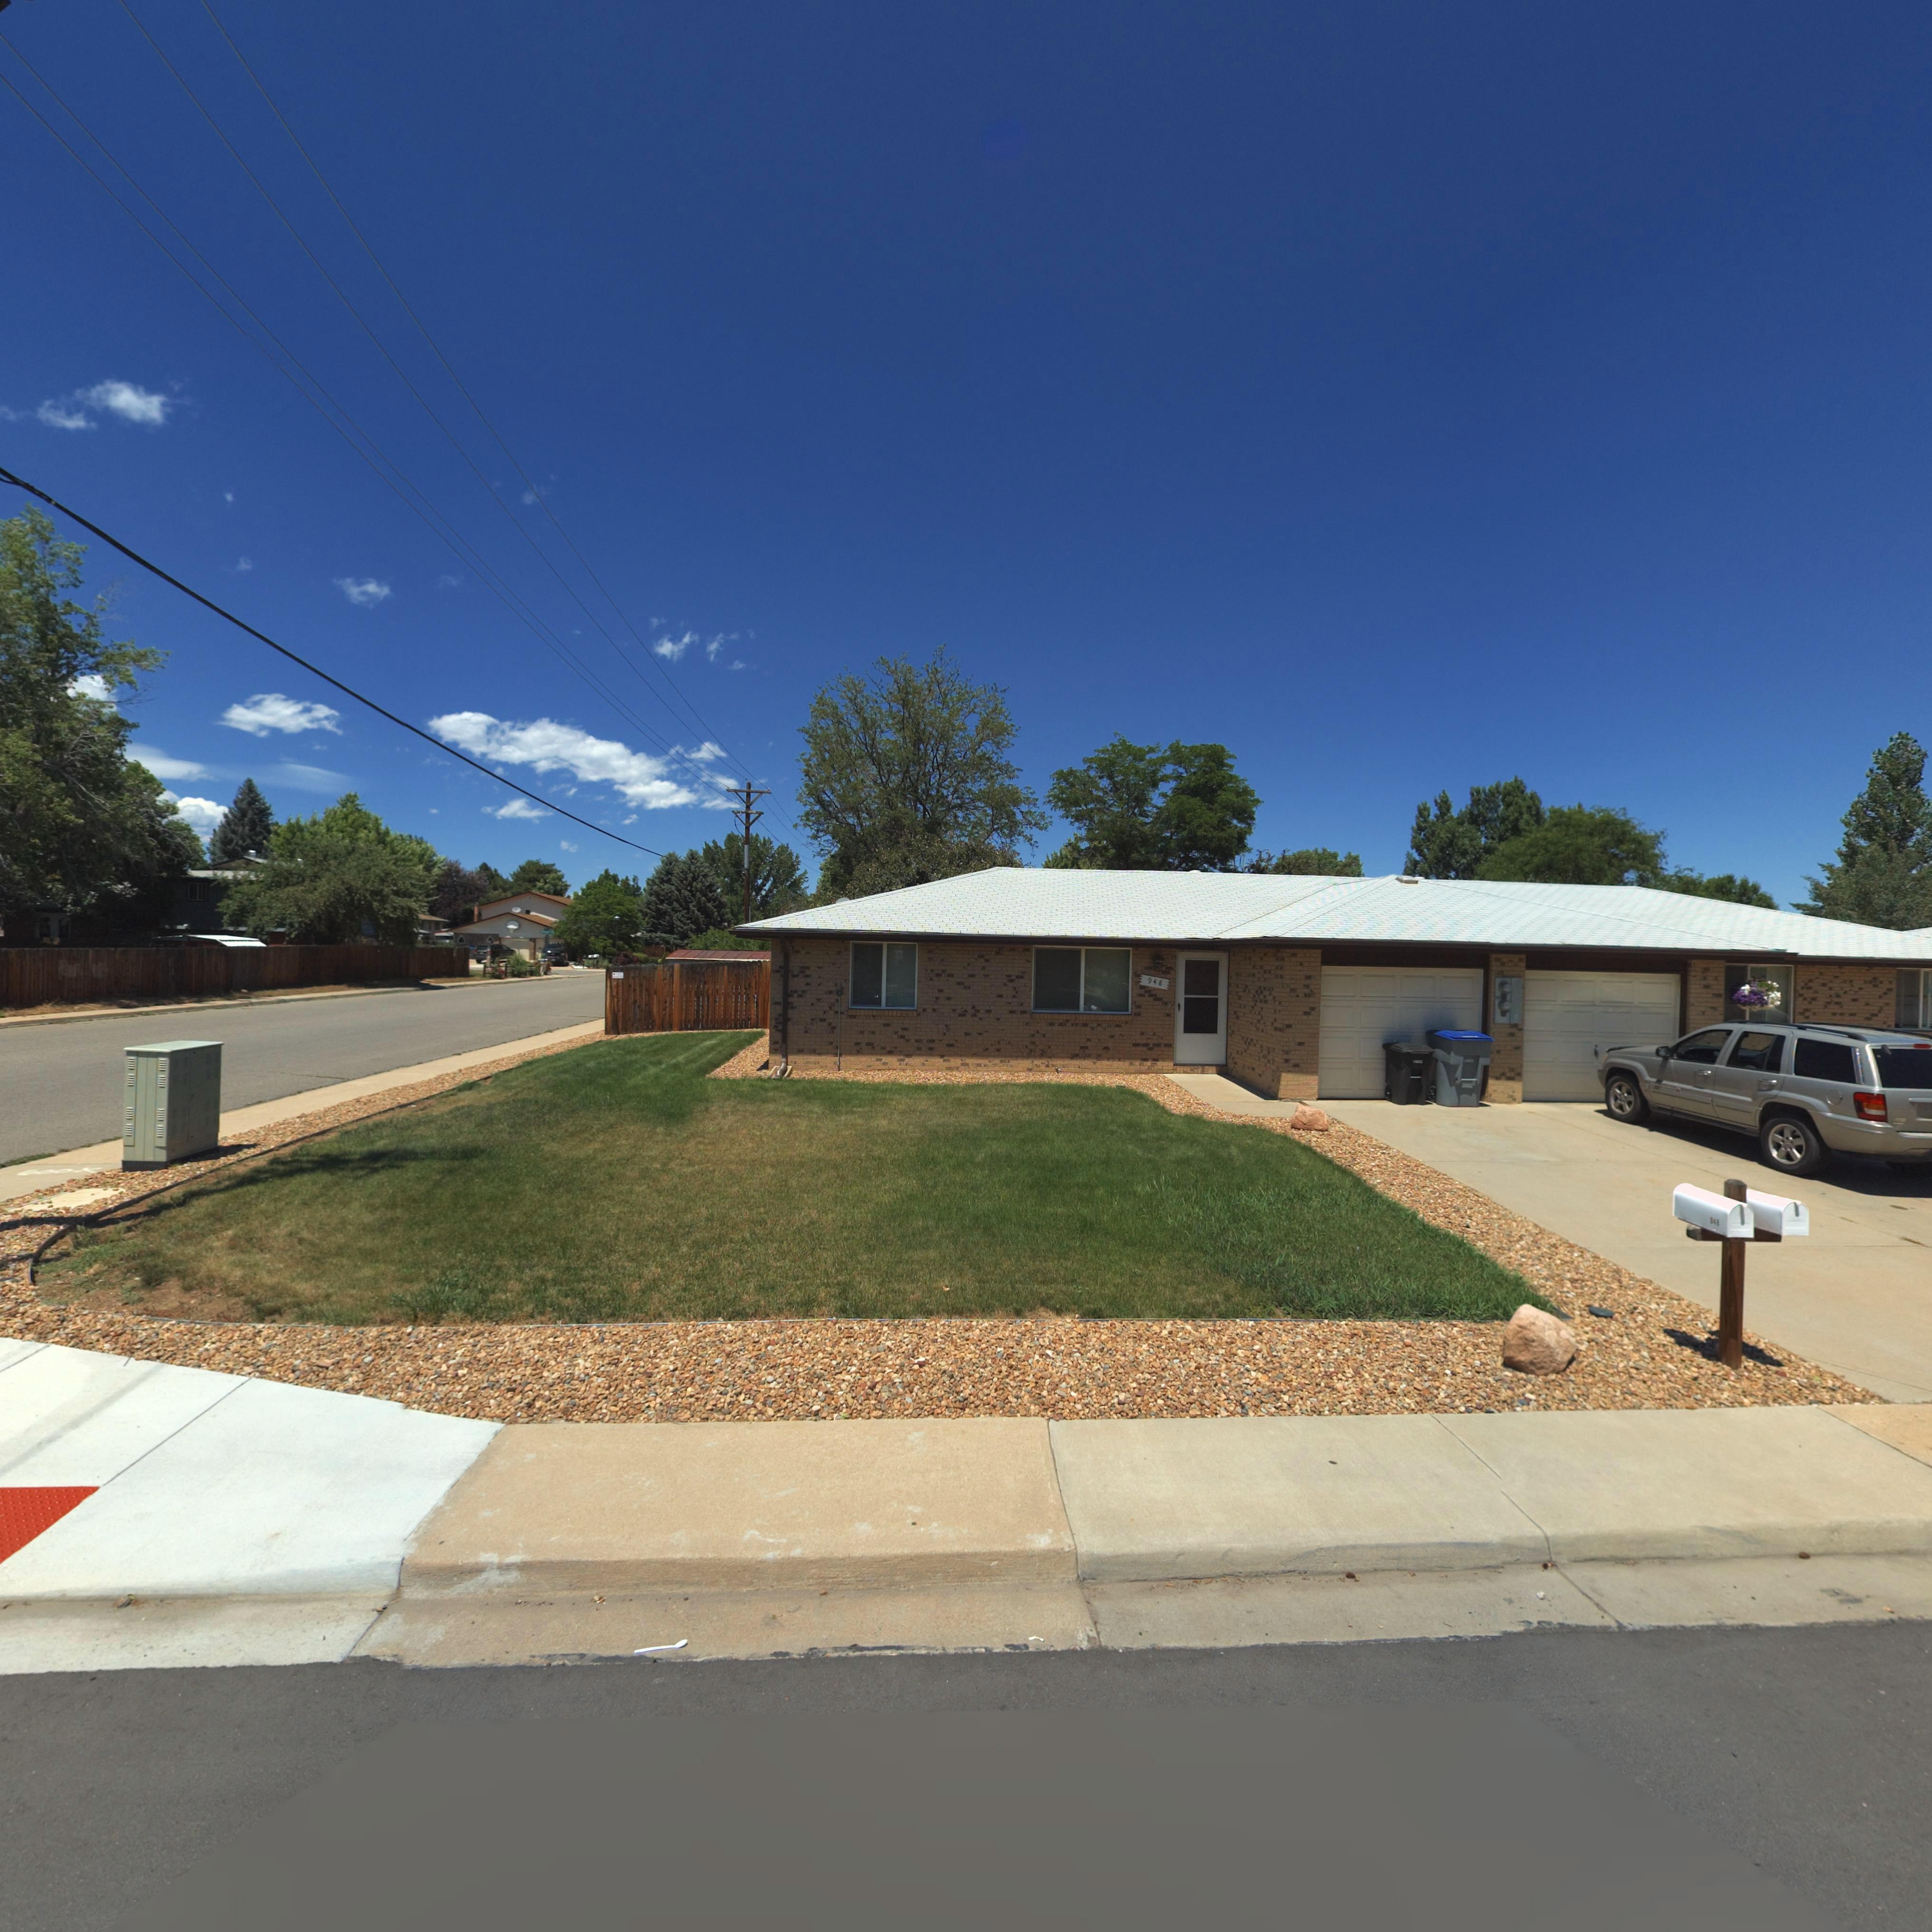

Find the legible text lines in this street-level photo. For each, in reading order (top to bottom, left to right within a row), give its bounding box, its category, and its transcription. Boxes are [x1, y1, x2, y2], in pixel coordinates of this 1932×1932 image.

[1148, 976, 1163, 986] StreetNumber: 948
[1709, 1216, 1720, 1227] StreetNumber: 948